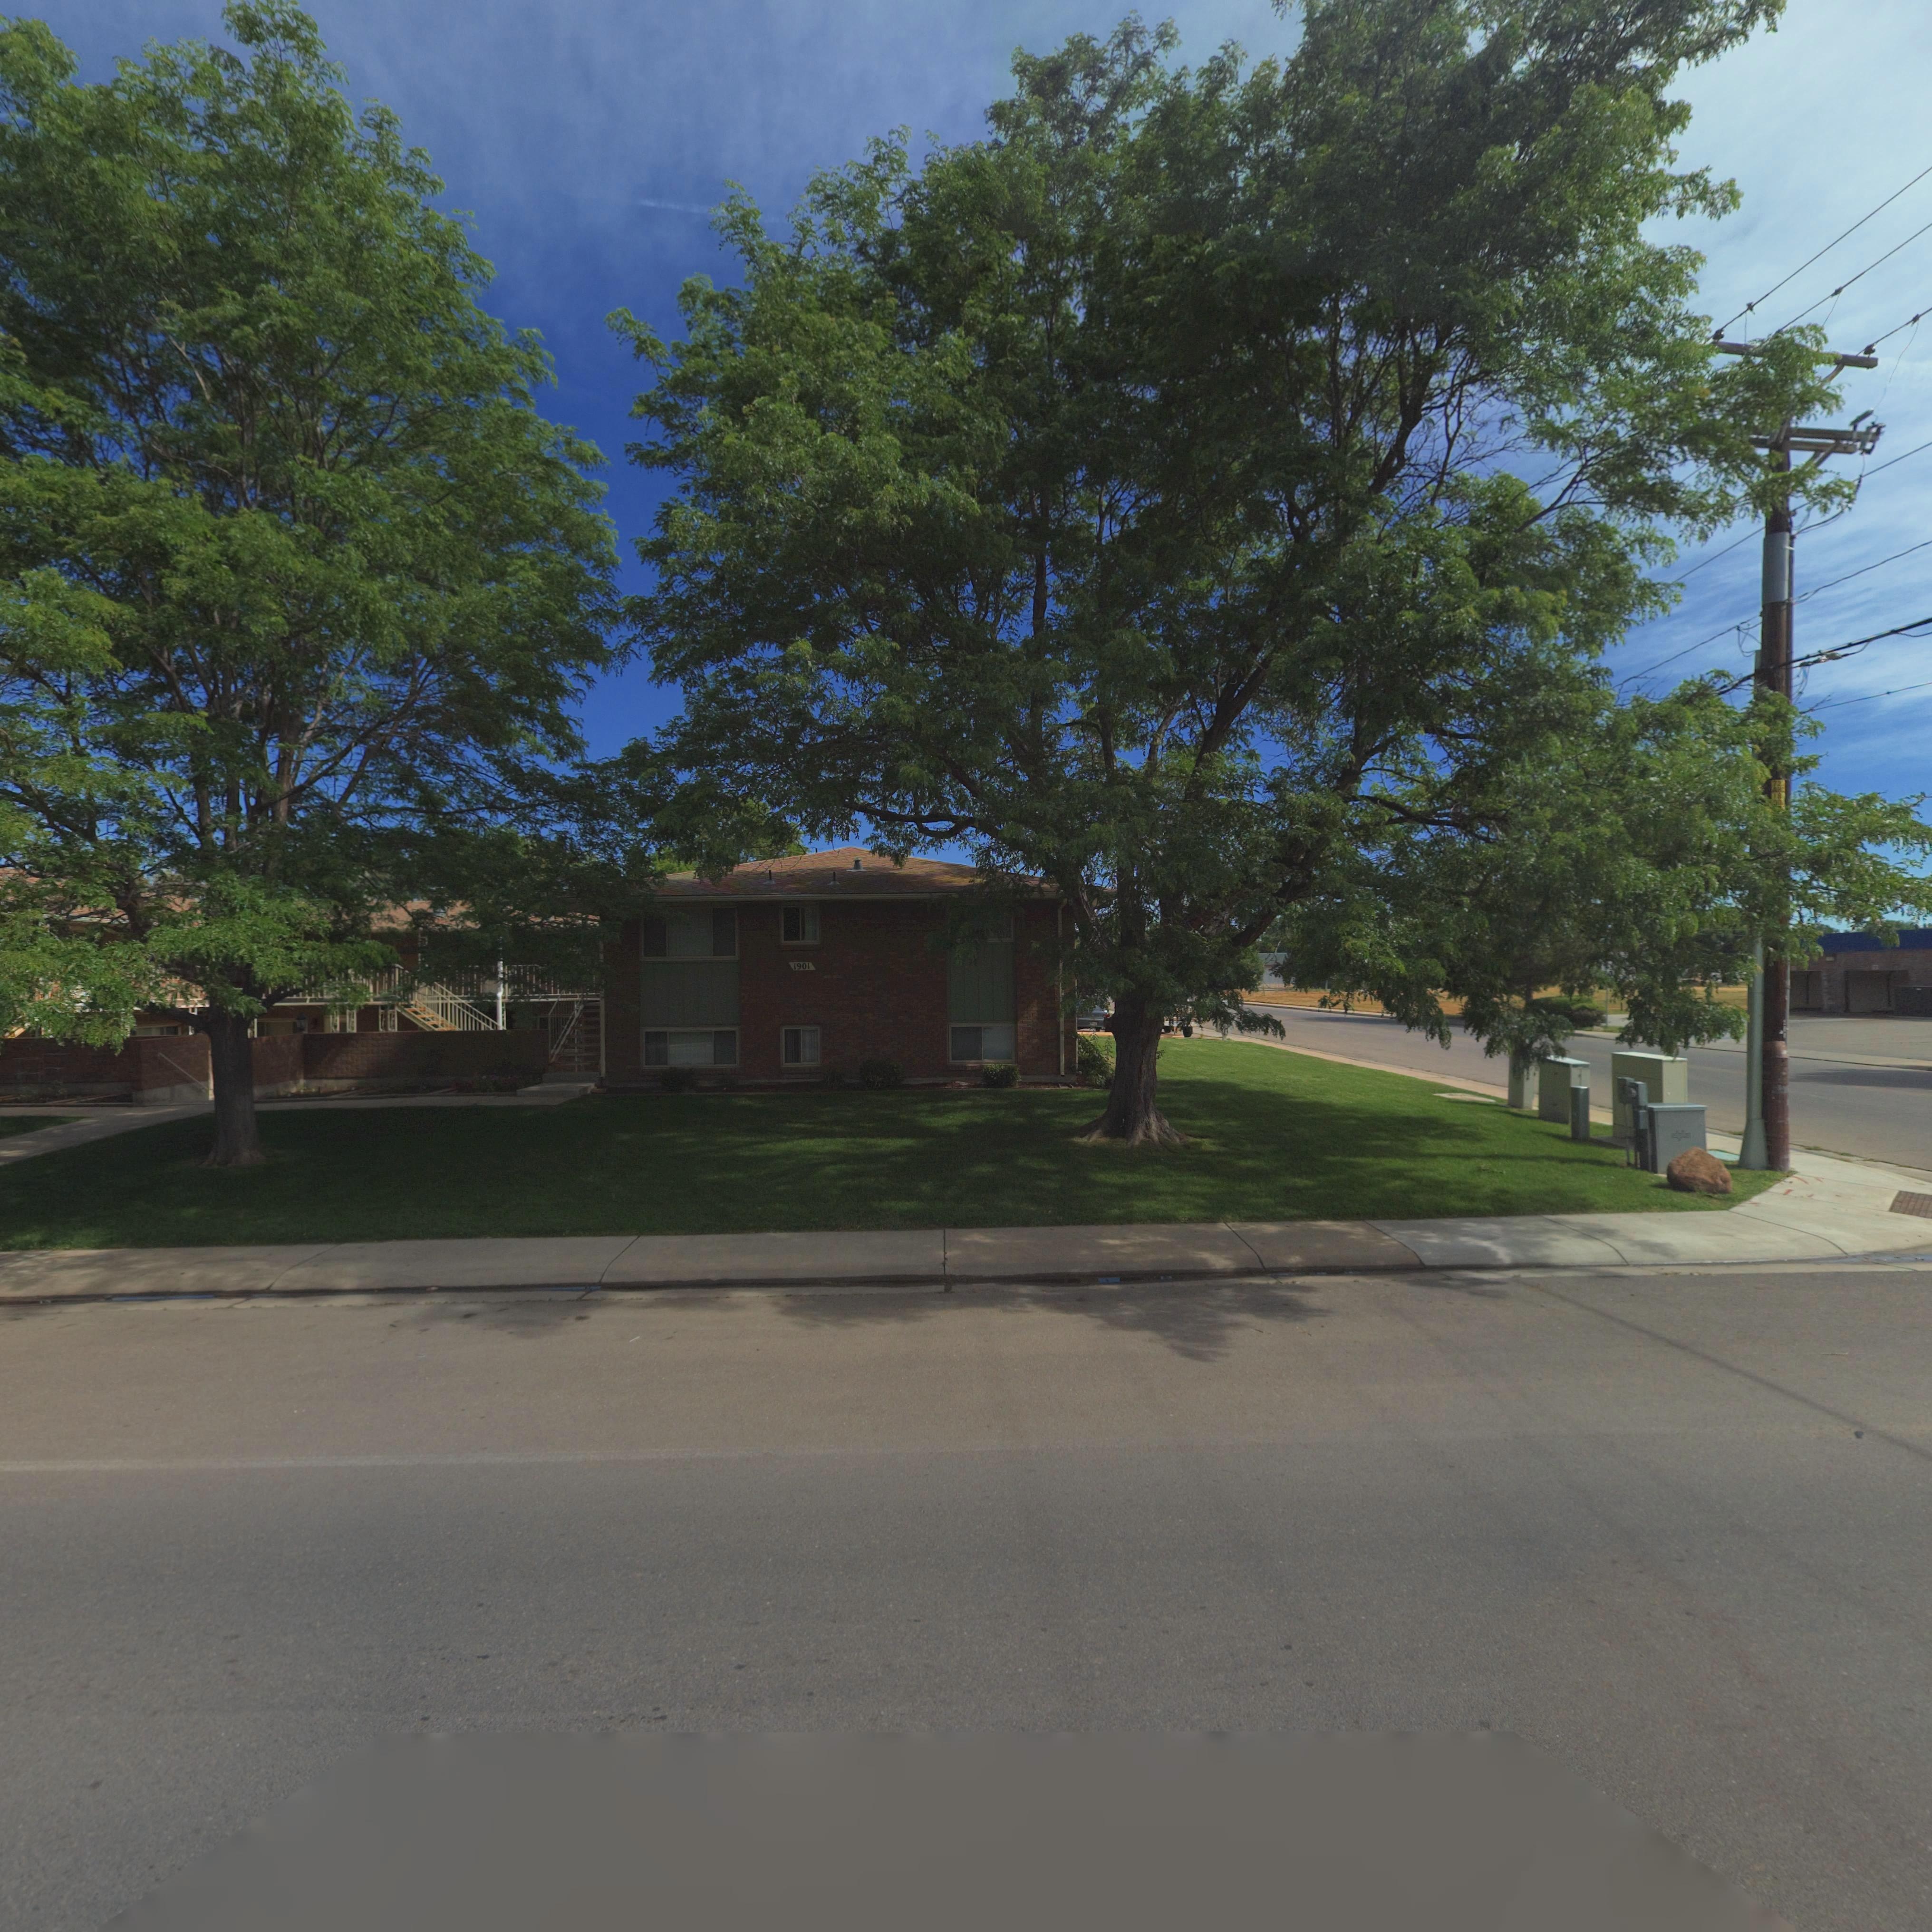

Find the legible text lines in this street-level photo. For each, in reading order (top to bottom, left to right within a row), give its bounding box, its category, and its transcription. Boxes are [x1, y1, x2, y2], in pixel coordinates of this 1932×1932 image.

[793, 962, 810, 970] StreetNumber: 1901